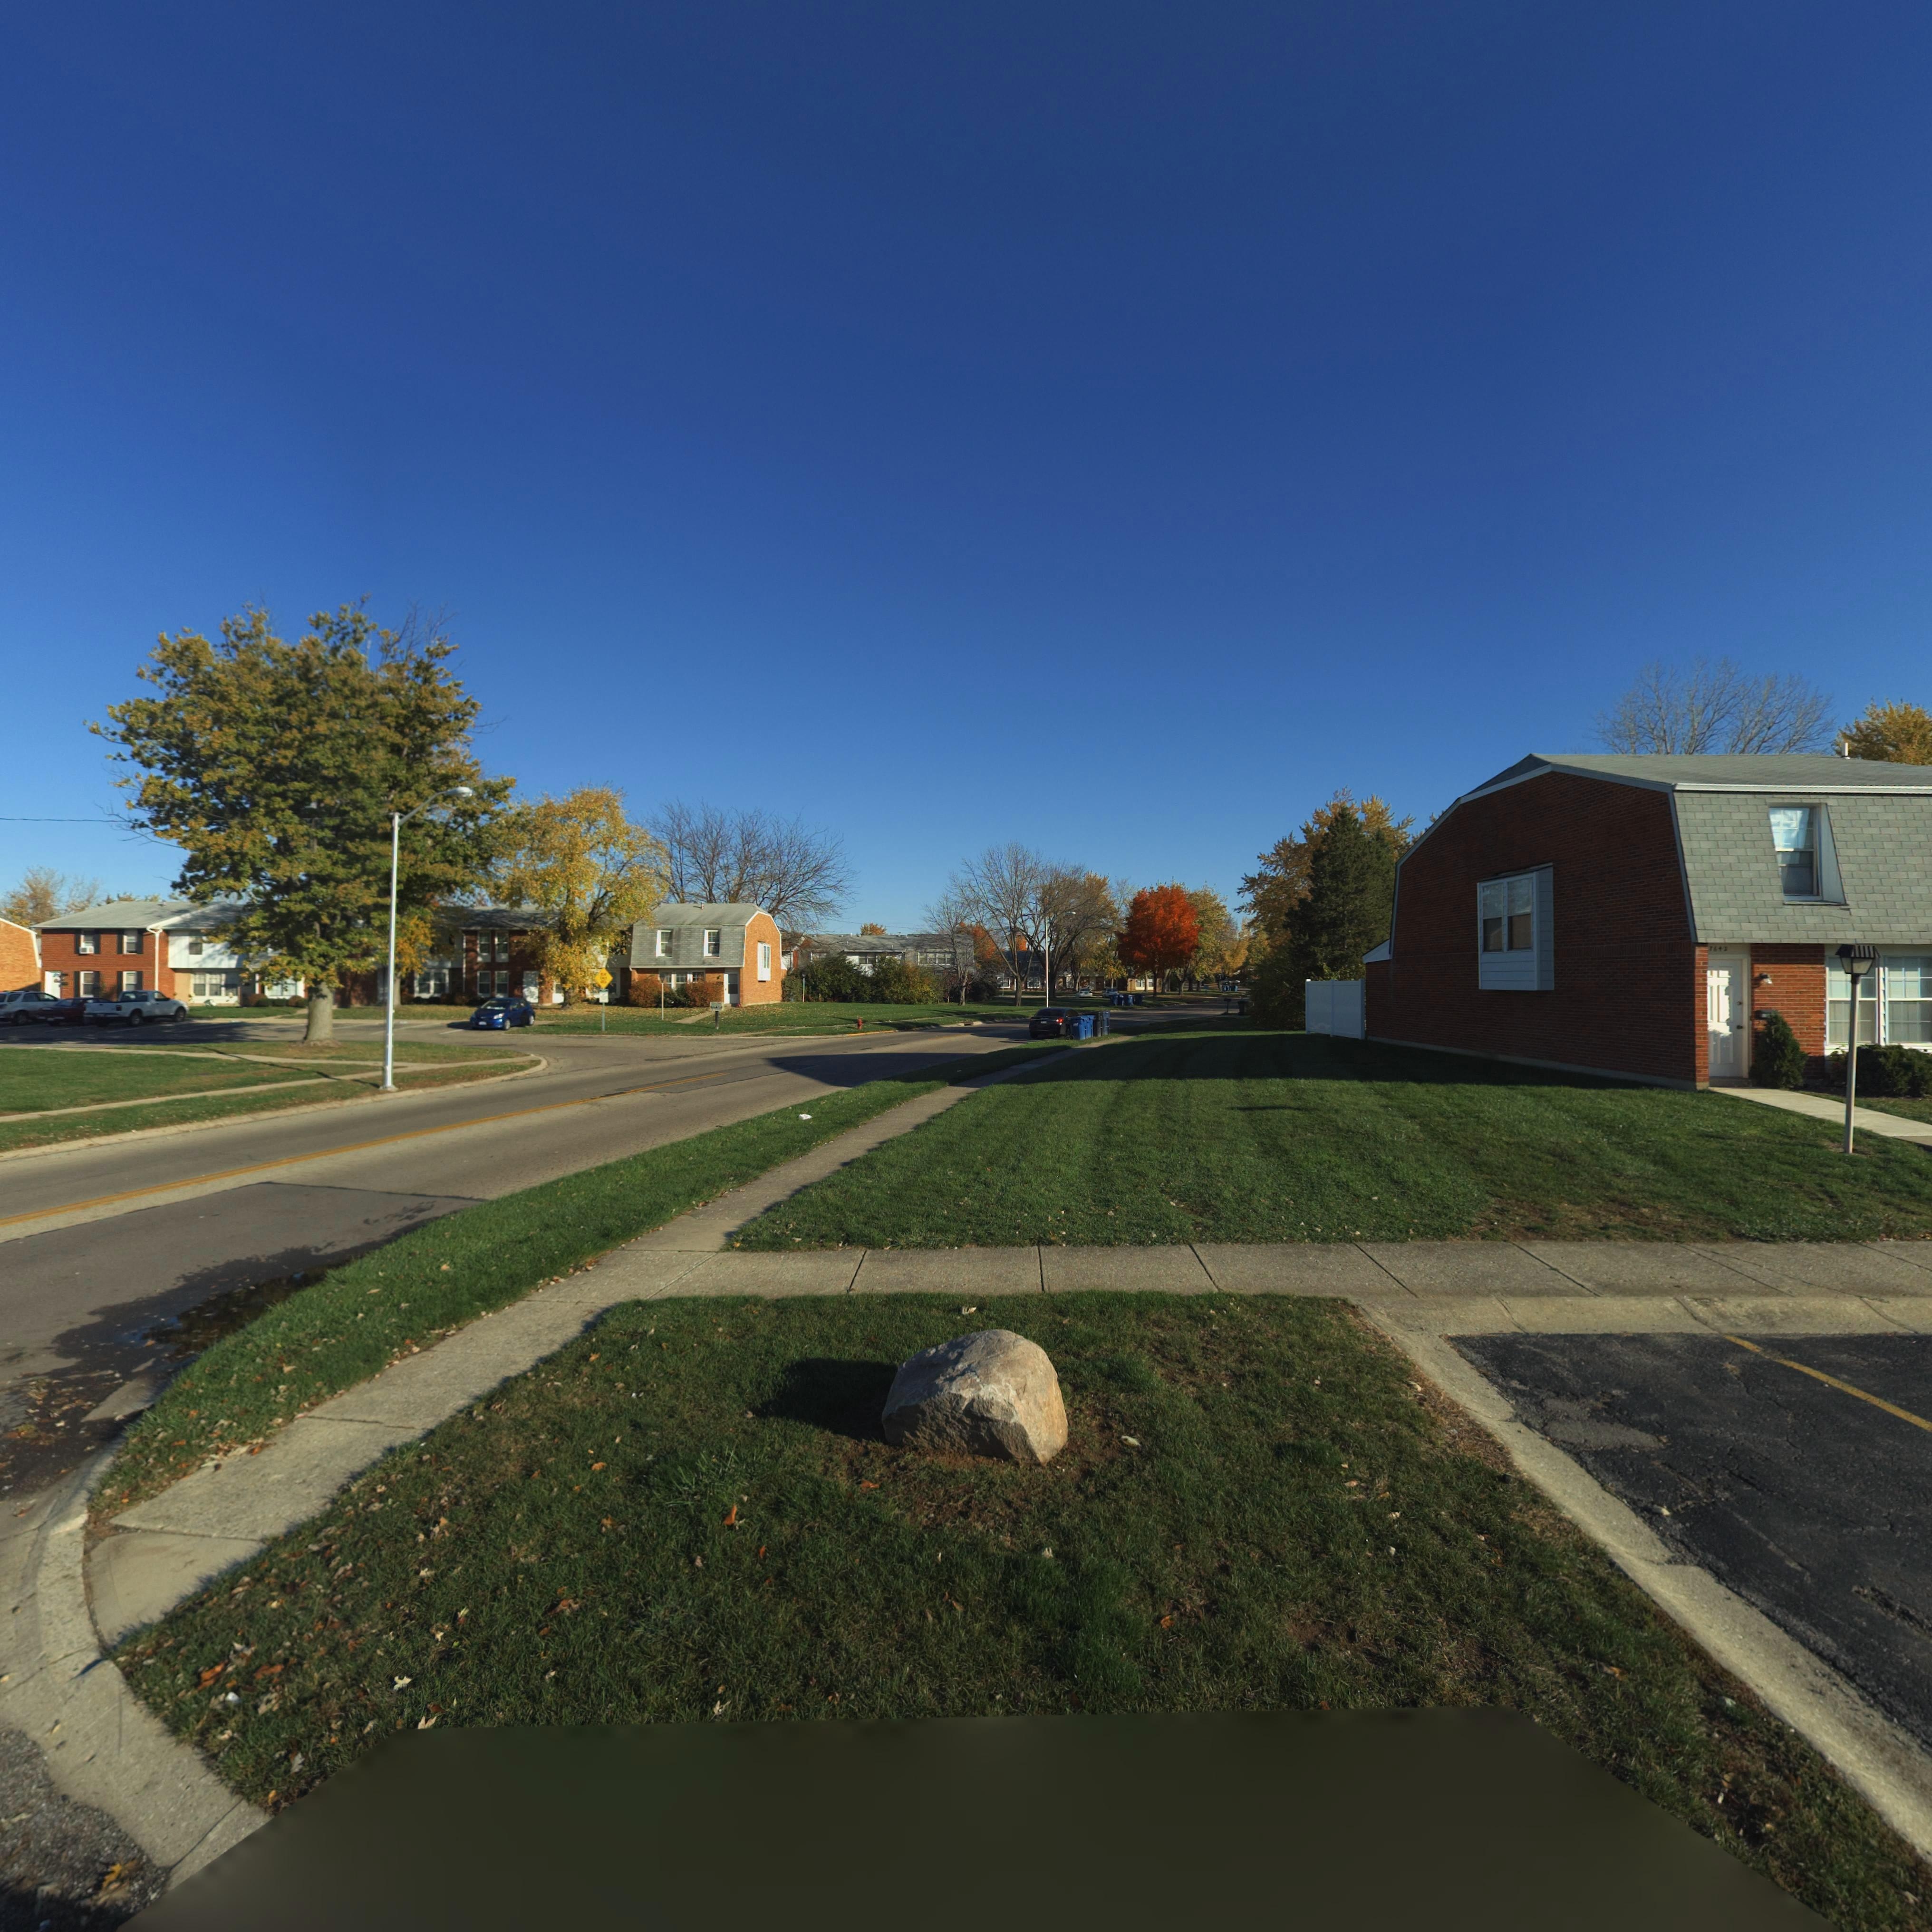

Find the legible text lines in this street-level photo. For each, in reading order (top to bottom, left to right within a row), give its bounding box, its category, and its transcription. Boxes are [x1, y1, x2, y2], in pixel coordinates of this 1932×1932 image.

[1708, 945, 1728, 952] StreetNumber: 7642